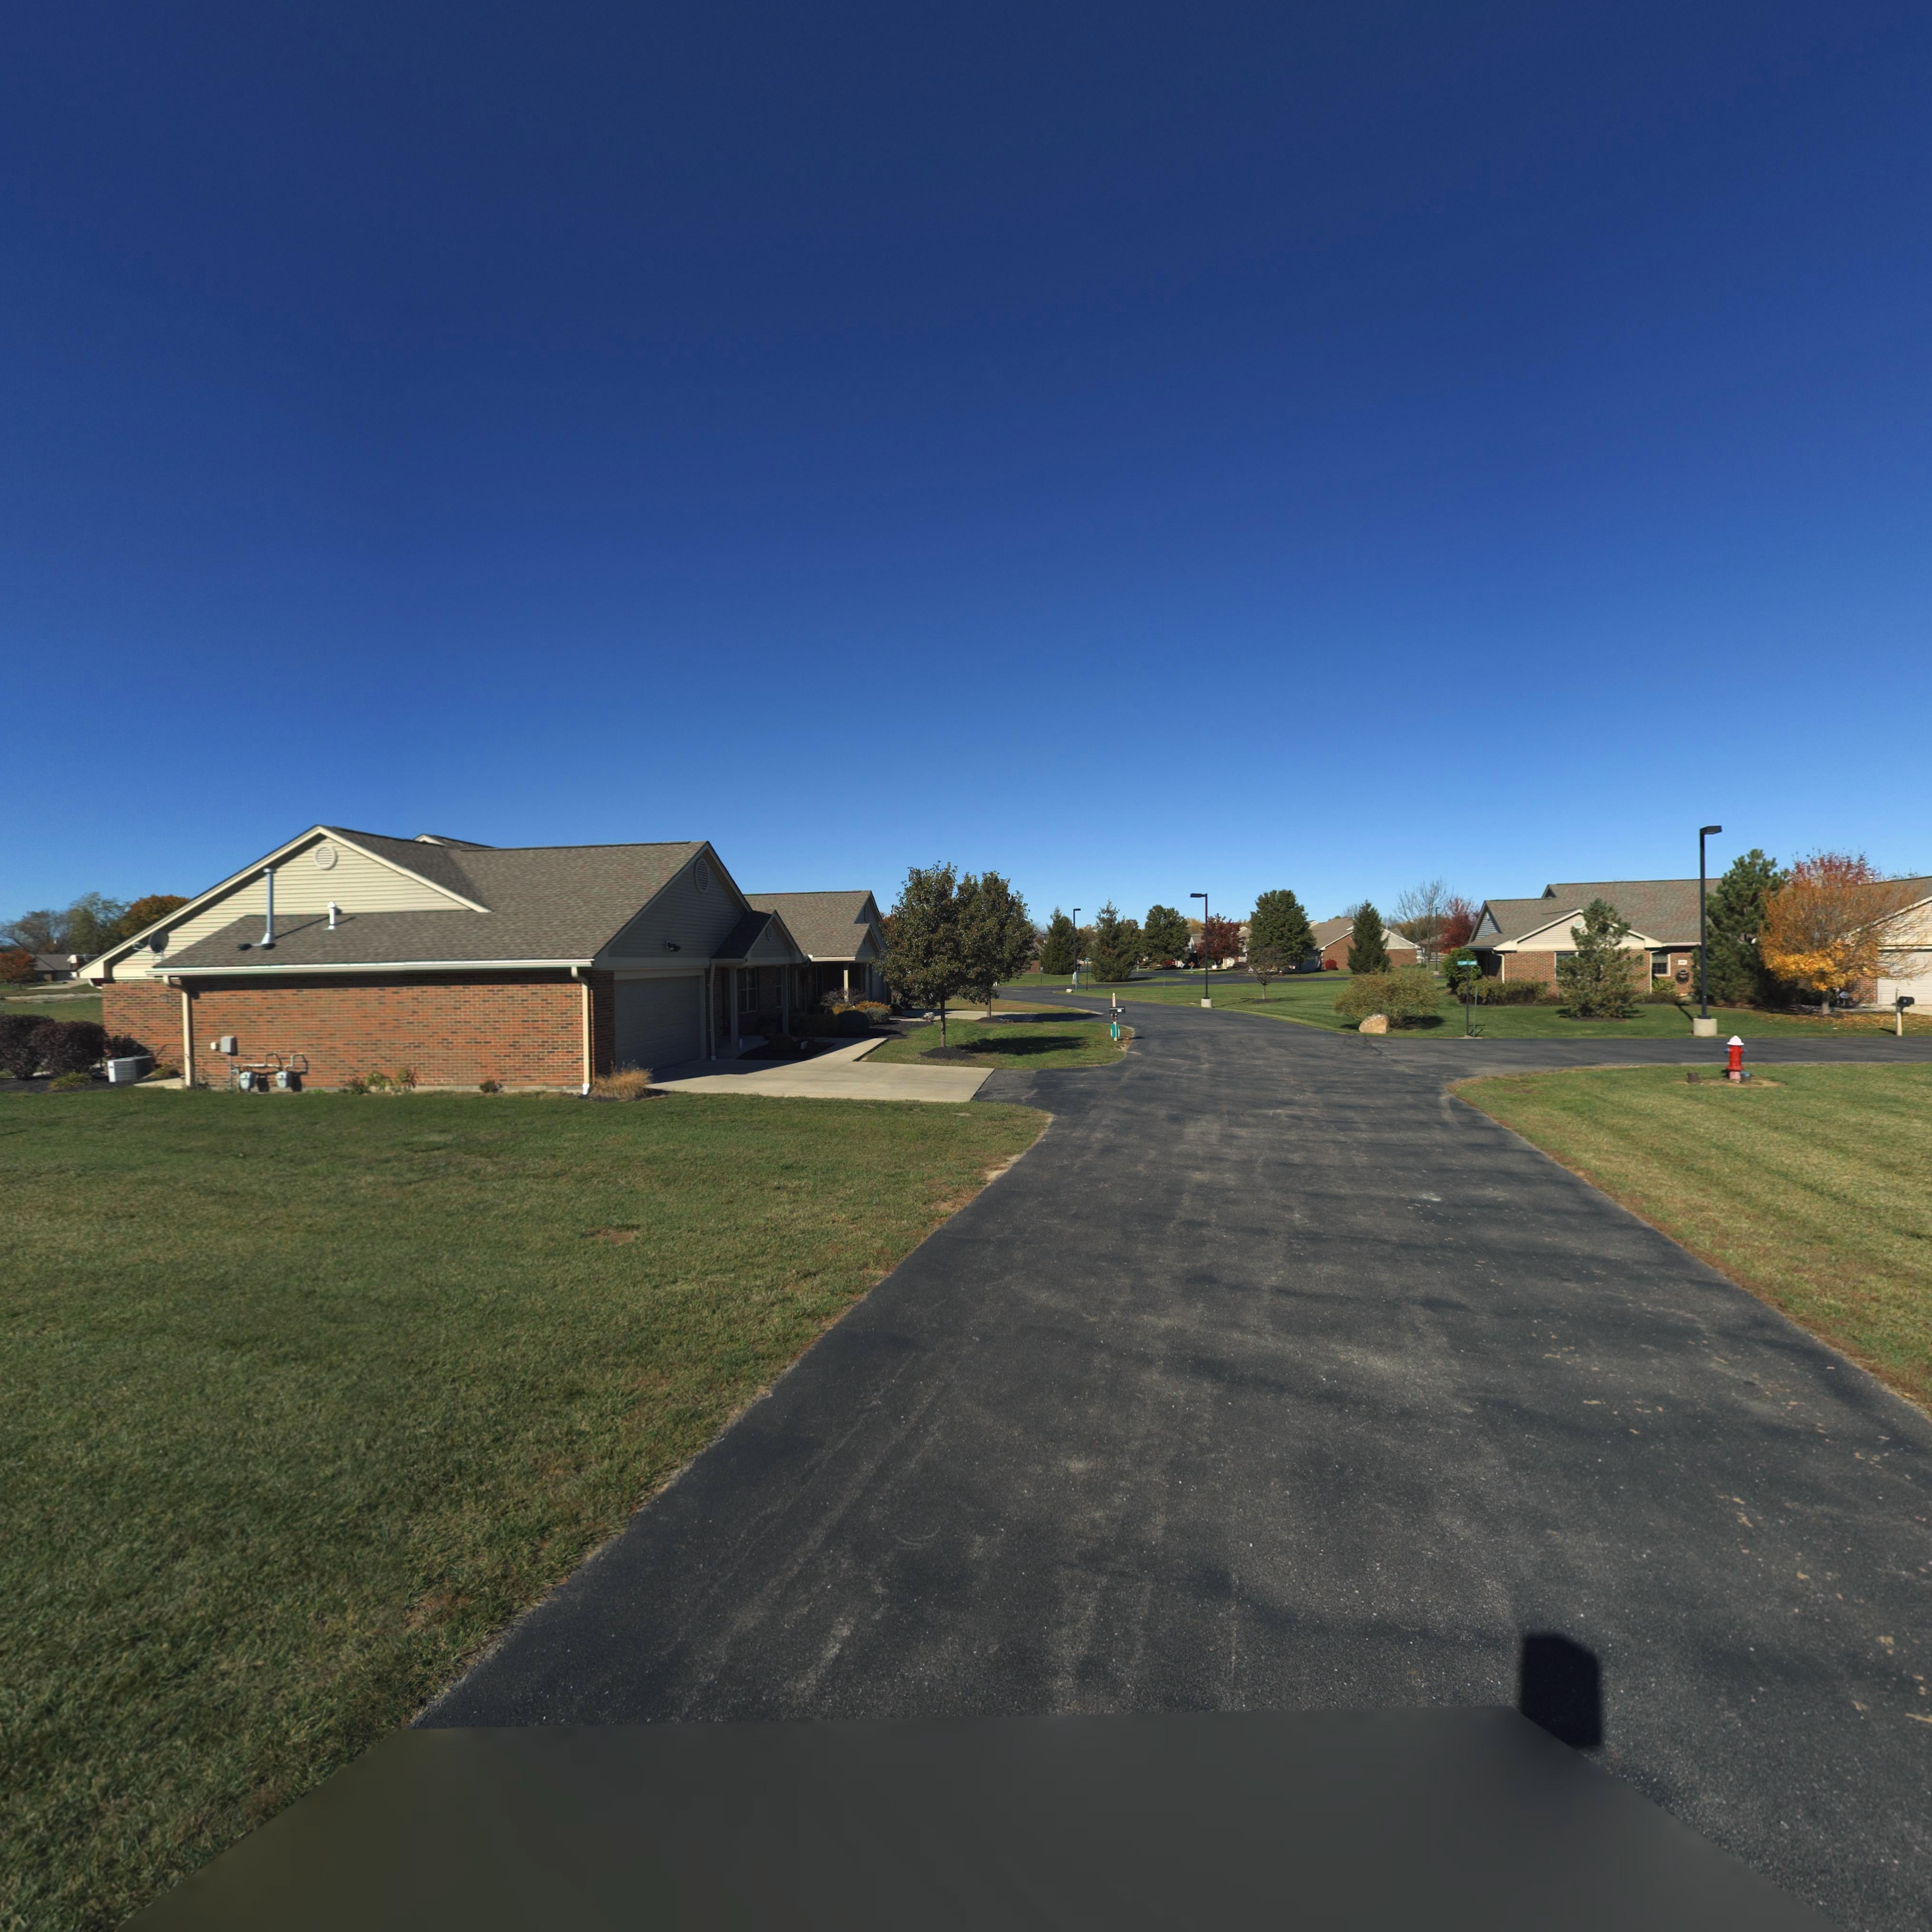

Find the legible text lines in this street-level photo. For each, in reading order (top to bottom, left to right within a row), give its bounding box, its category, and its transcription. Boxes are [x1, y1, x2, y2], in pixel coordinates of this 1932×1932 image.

[1118, 1029, 1121, 1036] StreetNumber: 5*6